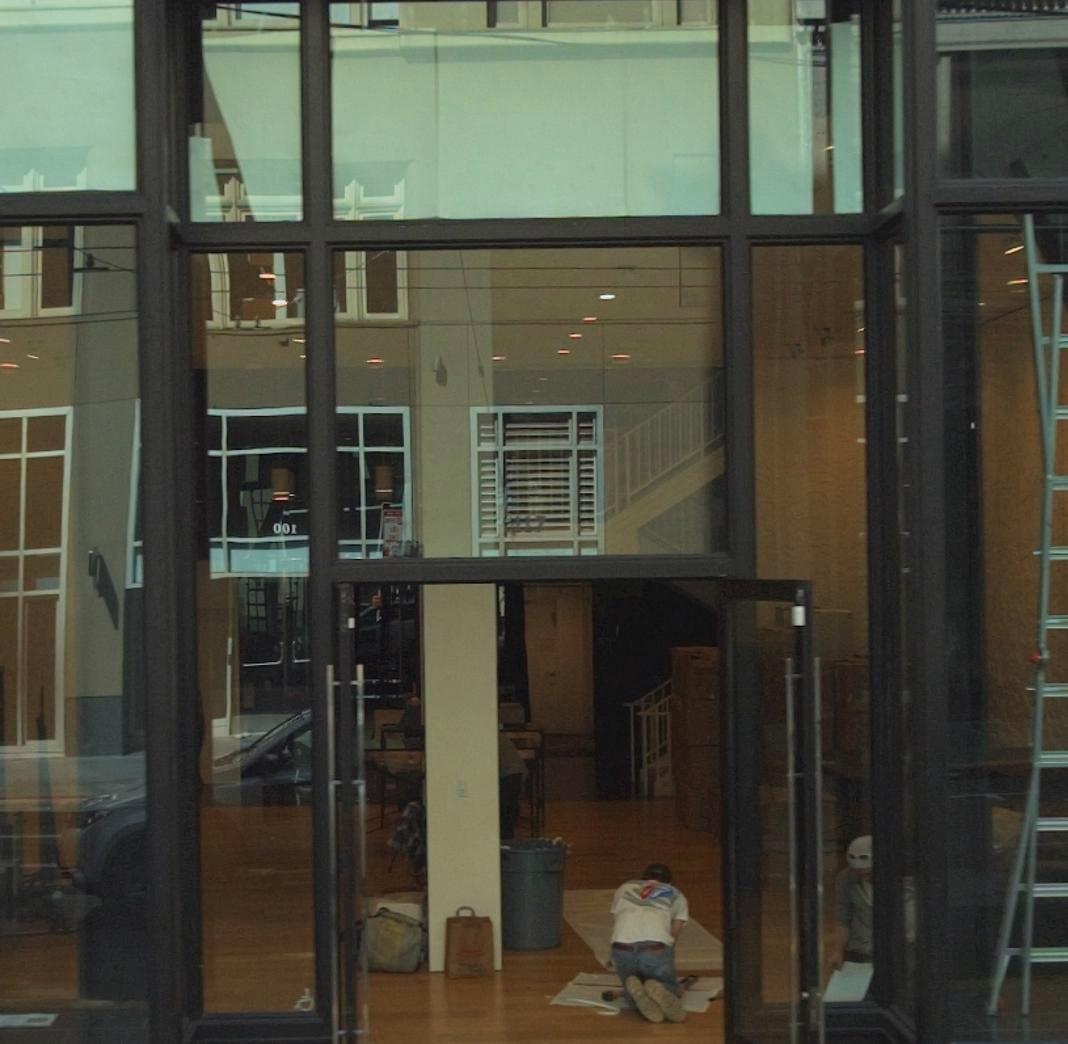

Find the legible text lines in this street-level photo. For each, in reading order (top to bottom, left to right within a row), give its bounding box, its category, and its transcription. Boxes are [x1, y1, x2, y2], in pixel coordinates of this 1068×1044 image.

[270, 519, 299, 538] StreetNumber: 001
[510, 512, 548, 535] StreetNumber: 117